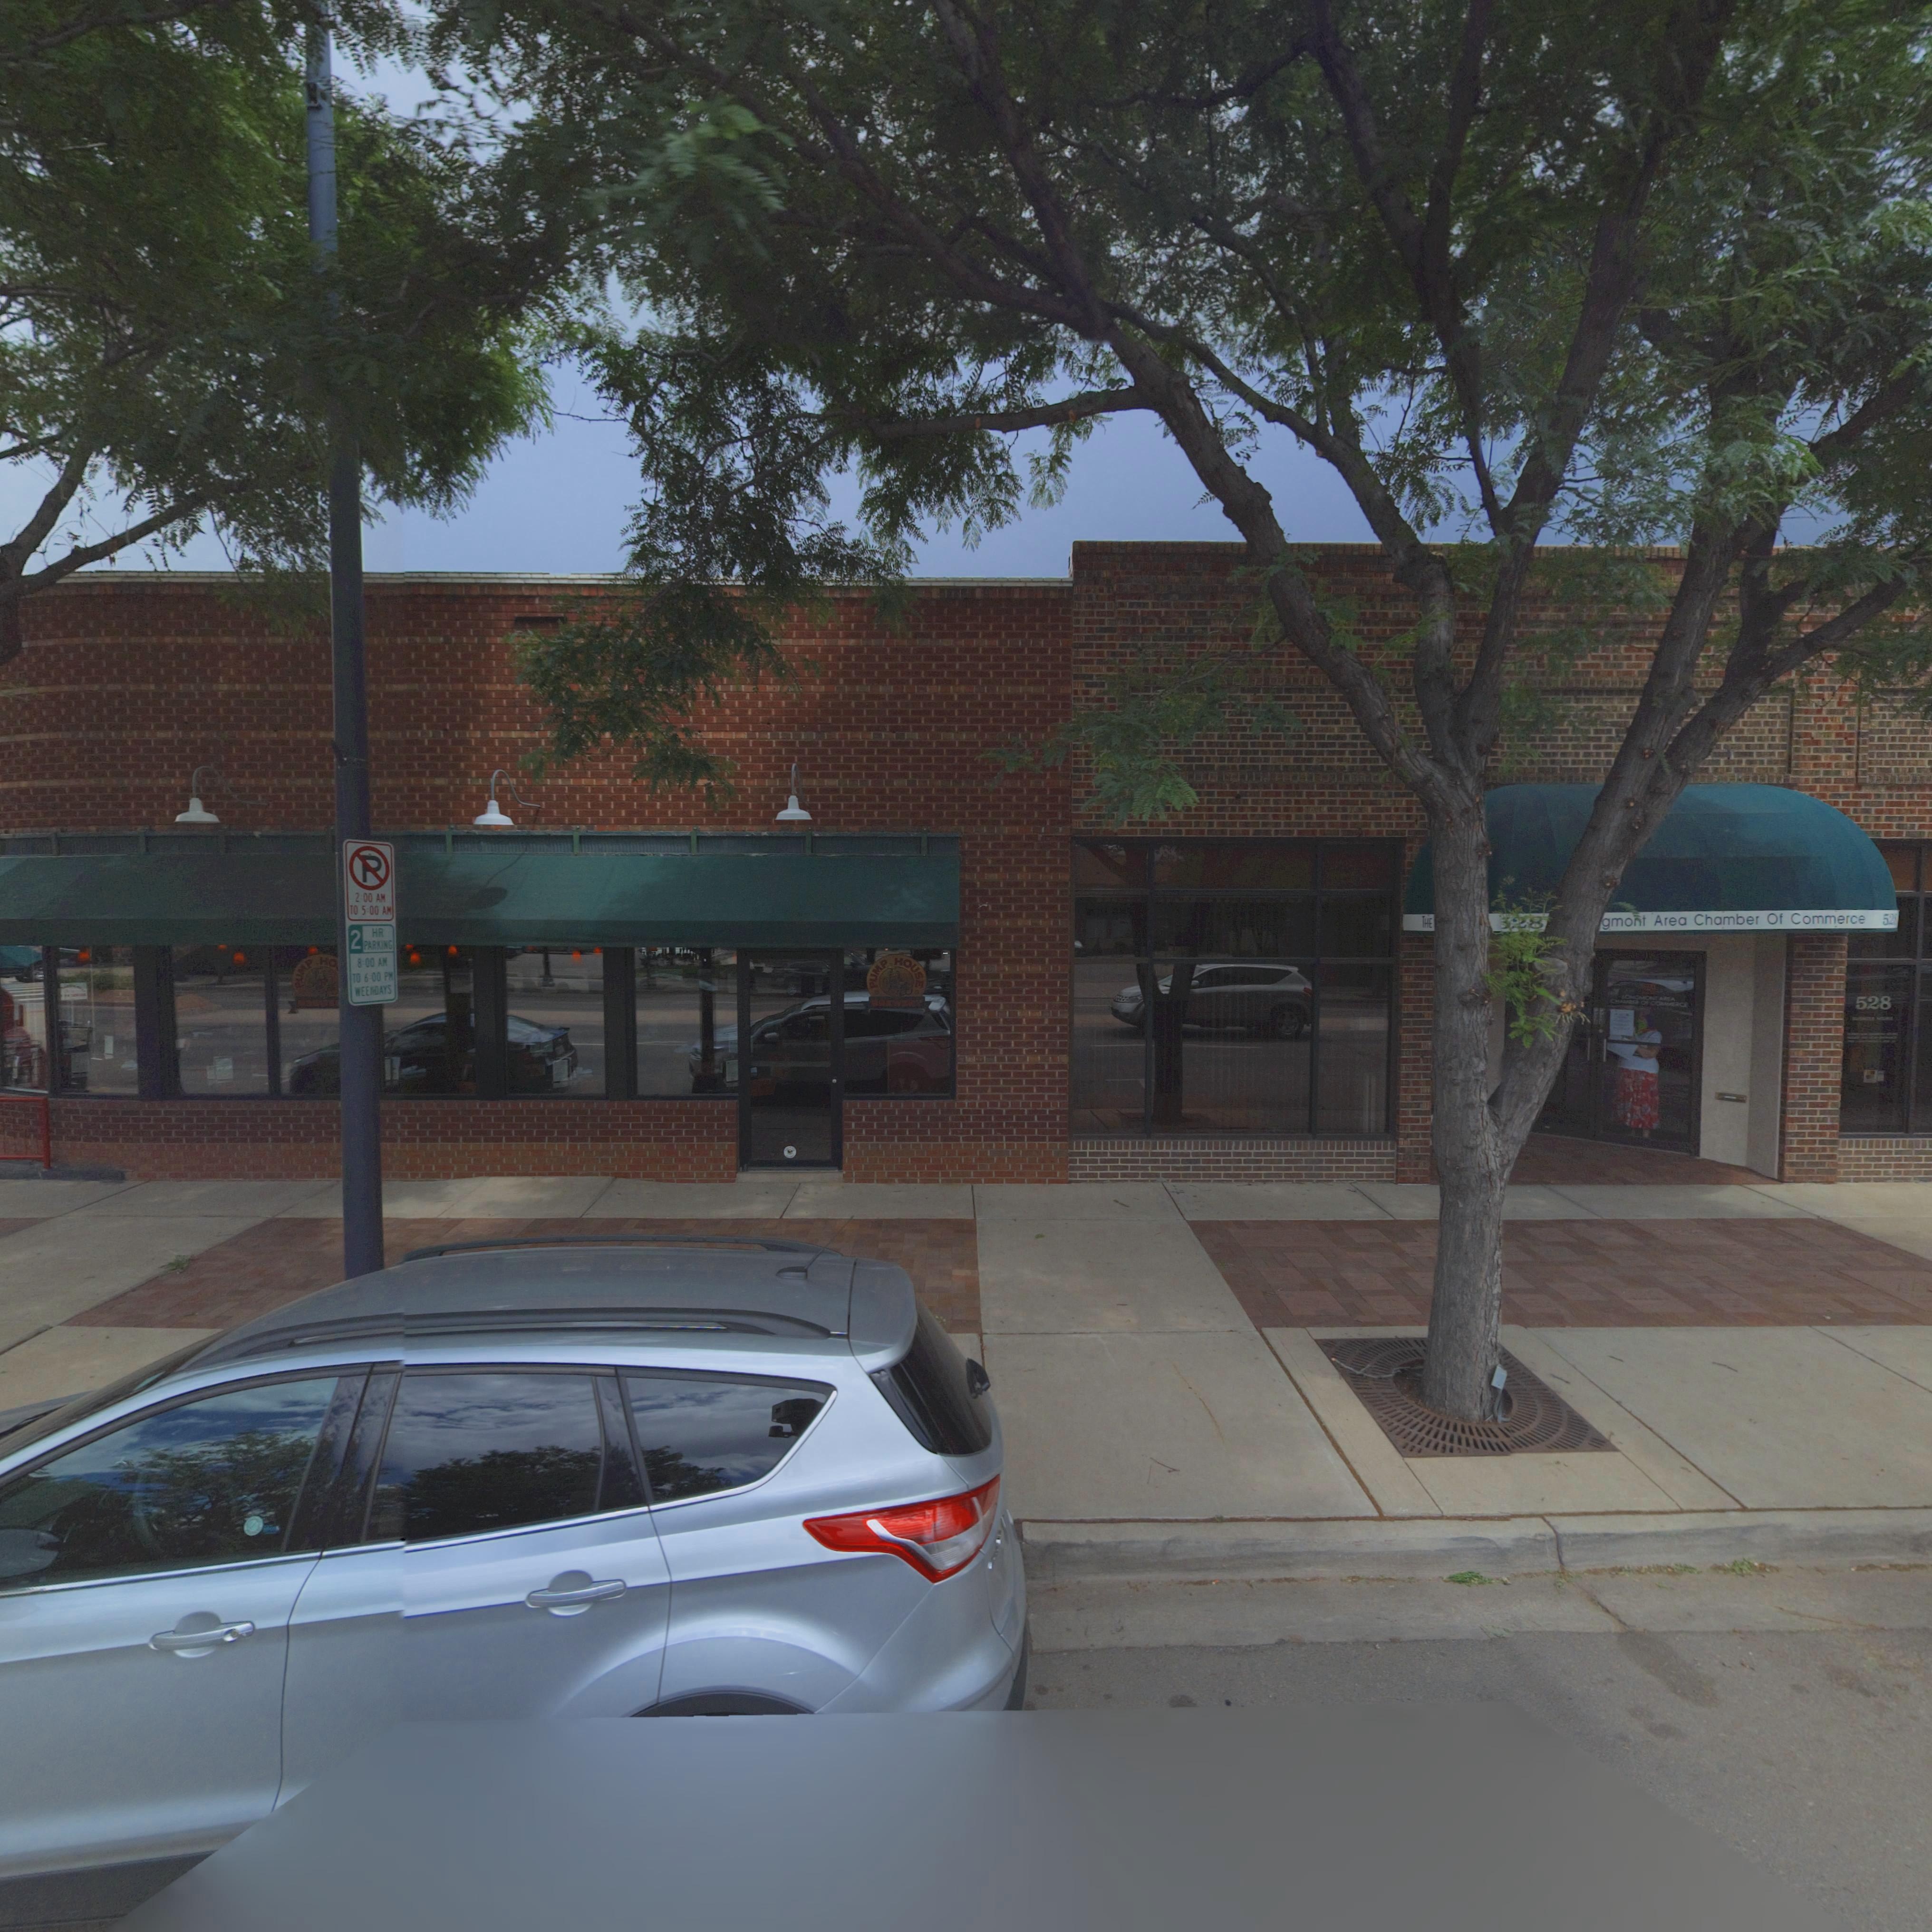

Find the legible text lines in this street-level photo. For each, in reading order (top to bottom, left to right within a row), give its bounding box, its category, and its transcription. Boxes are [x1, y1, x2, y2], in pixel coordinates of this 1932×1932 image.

[1421, 915, 1432, 928] BusinessName: THE
[1600, 911, 1866, 931] BusinessName: gmont Area Chamber Of Commerce
[1882, 913, 1894, 926] StreetNumber: 52
[869, 956, 925, 989] BusinessName: PUMP HOUSE
[870, 999, 922, 1008] BusinessName: BREWERY
[1620, 993, 1676, 1001] BusinessName: LONGMONT AREA
[1609, 998, 1689, 1007] BusinessName: CHAMBER OF COMMERCE
[1854, 995, 1892, 1011] StreetNumber: 528